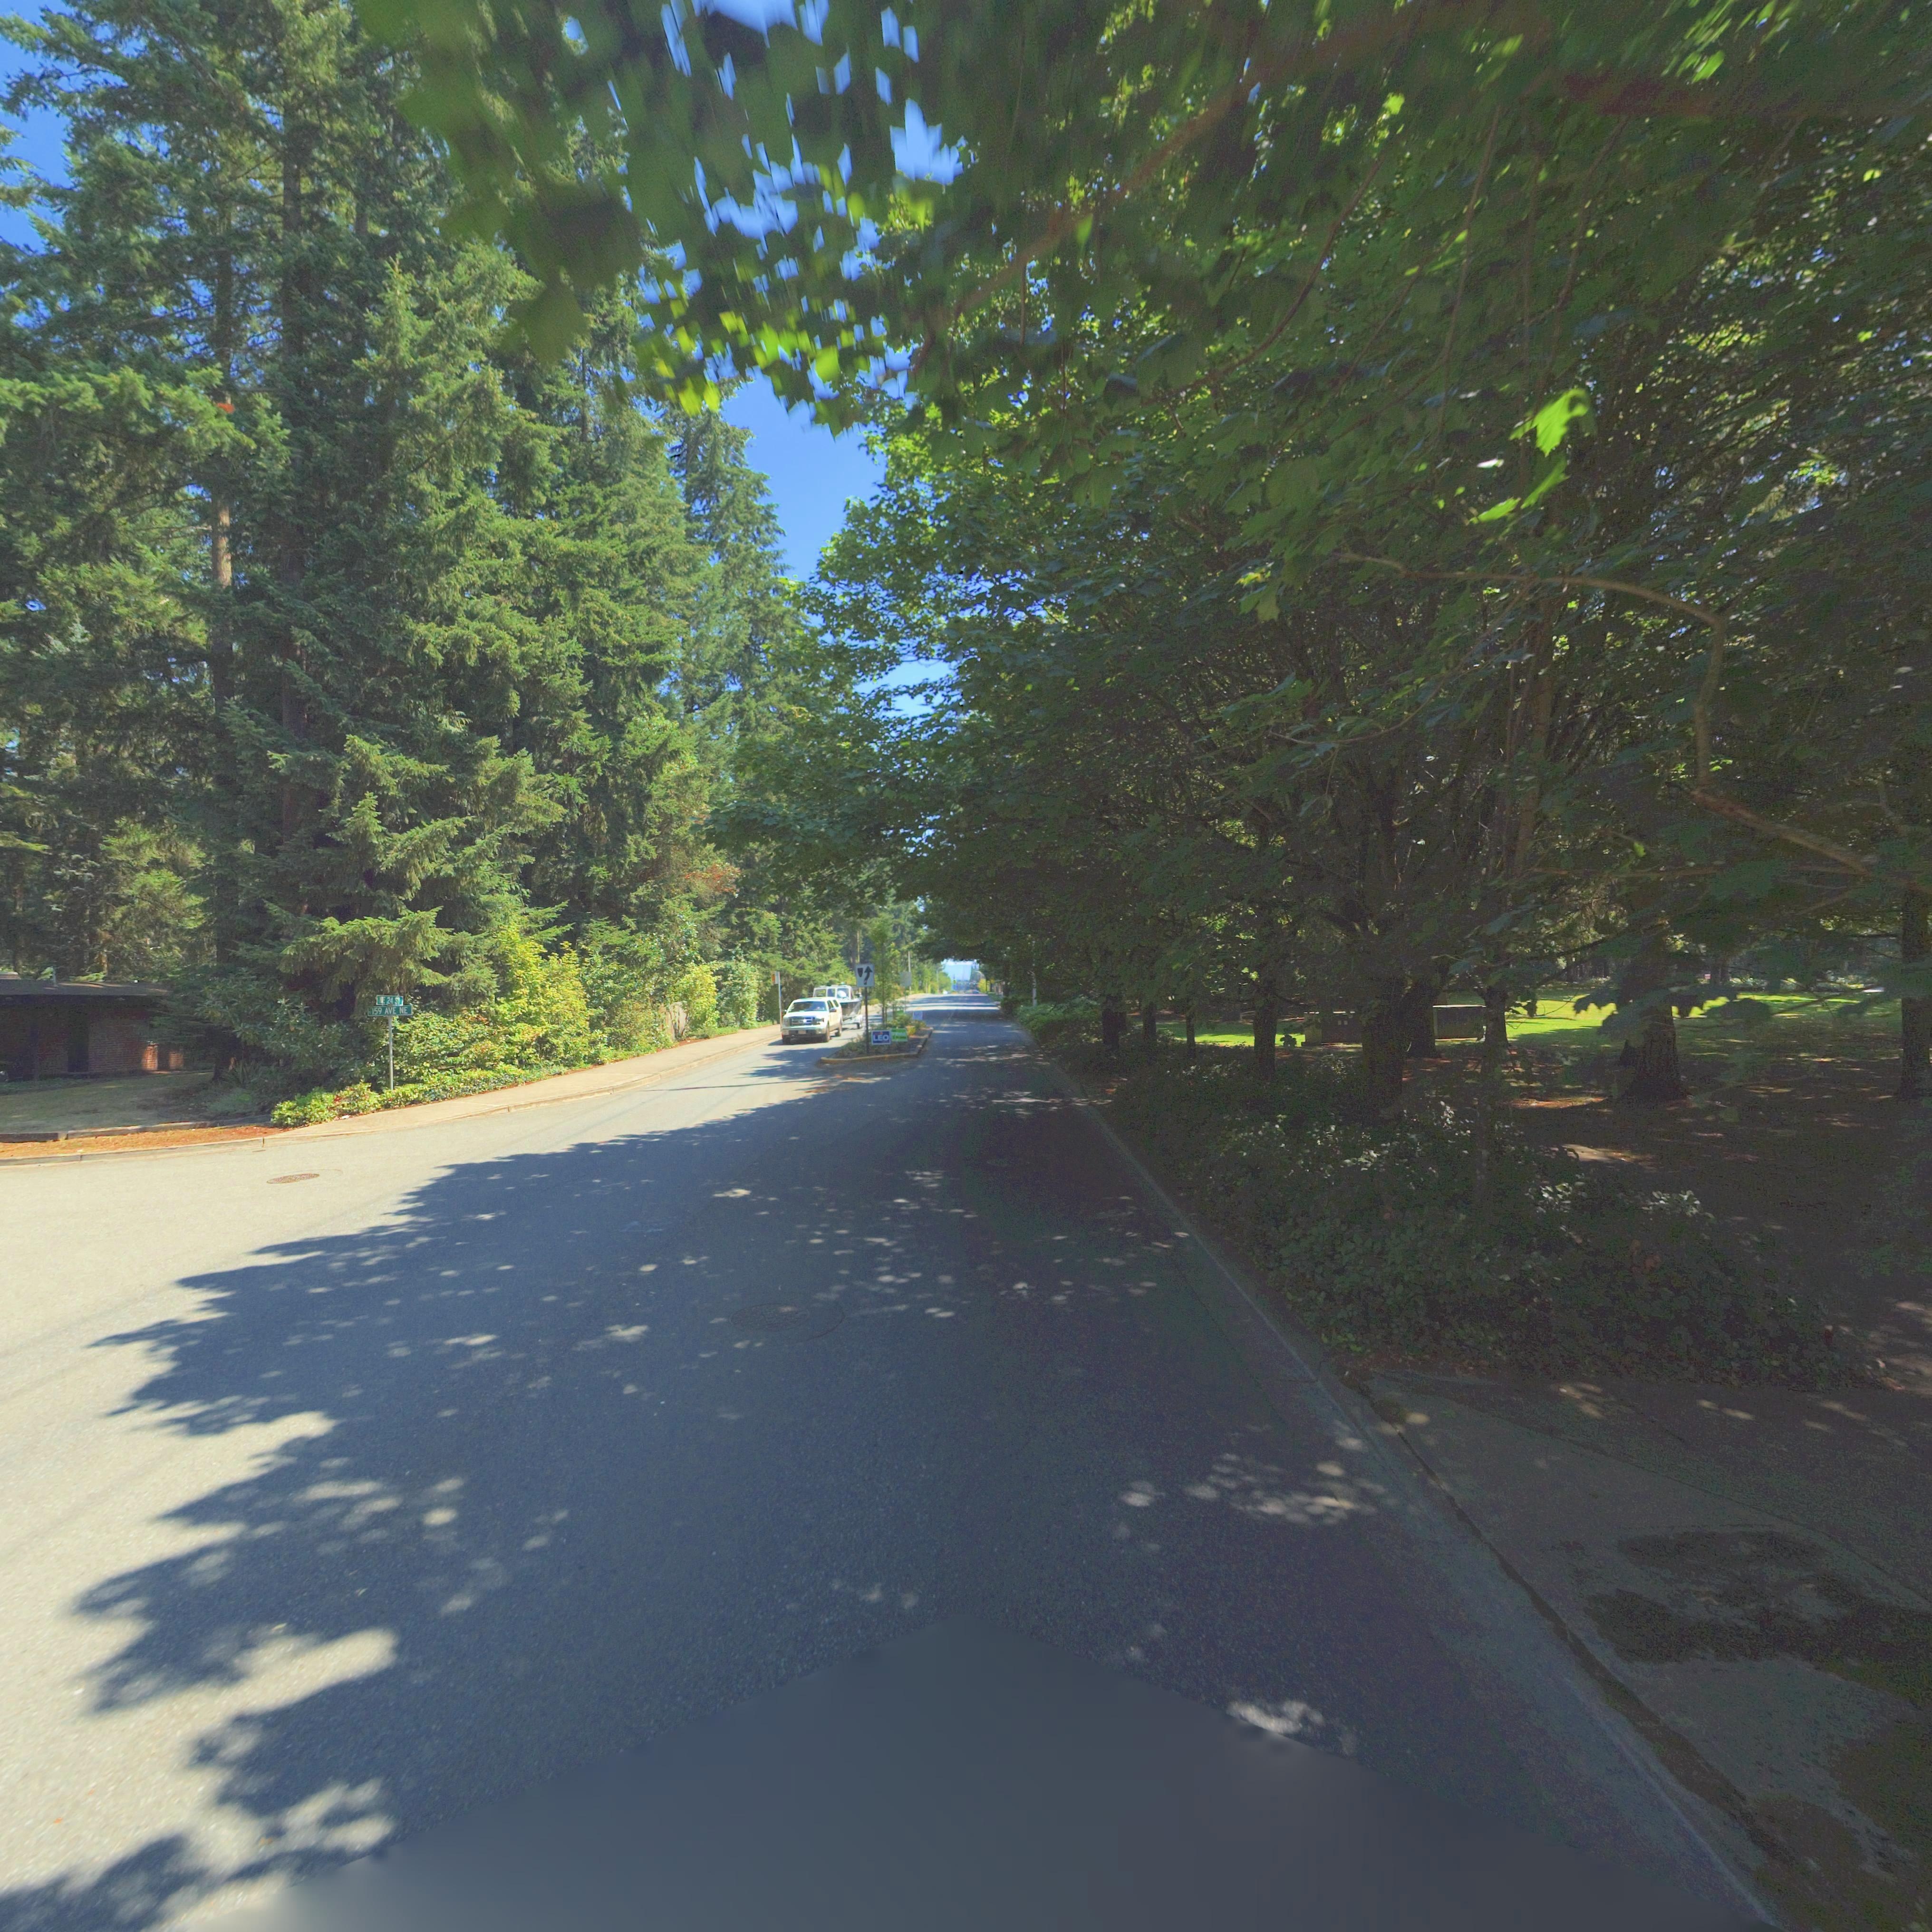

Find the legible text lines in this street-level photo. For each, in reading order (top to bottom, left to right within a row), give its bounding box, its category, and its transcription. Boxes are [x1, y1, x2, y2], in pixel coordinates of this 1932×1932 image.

[379, 996, 400, 1004] StreetName: ** 24 *
[373, 1006, 407, 1014] StreetName: 159 AVE NE